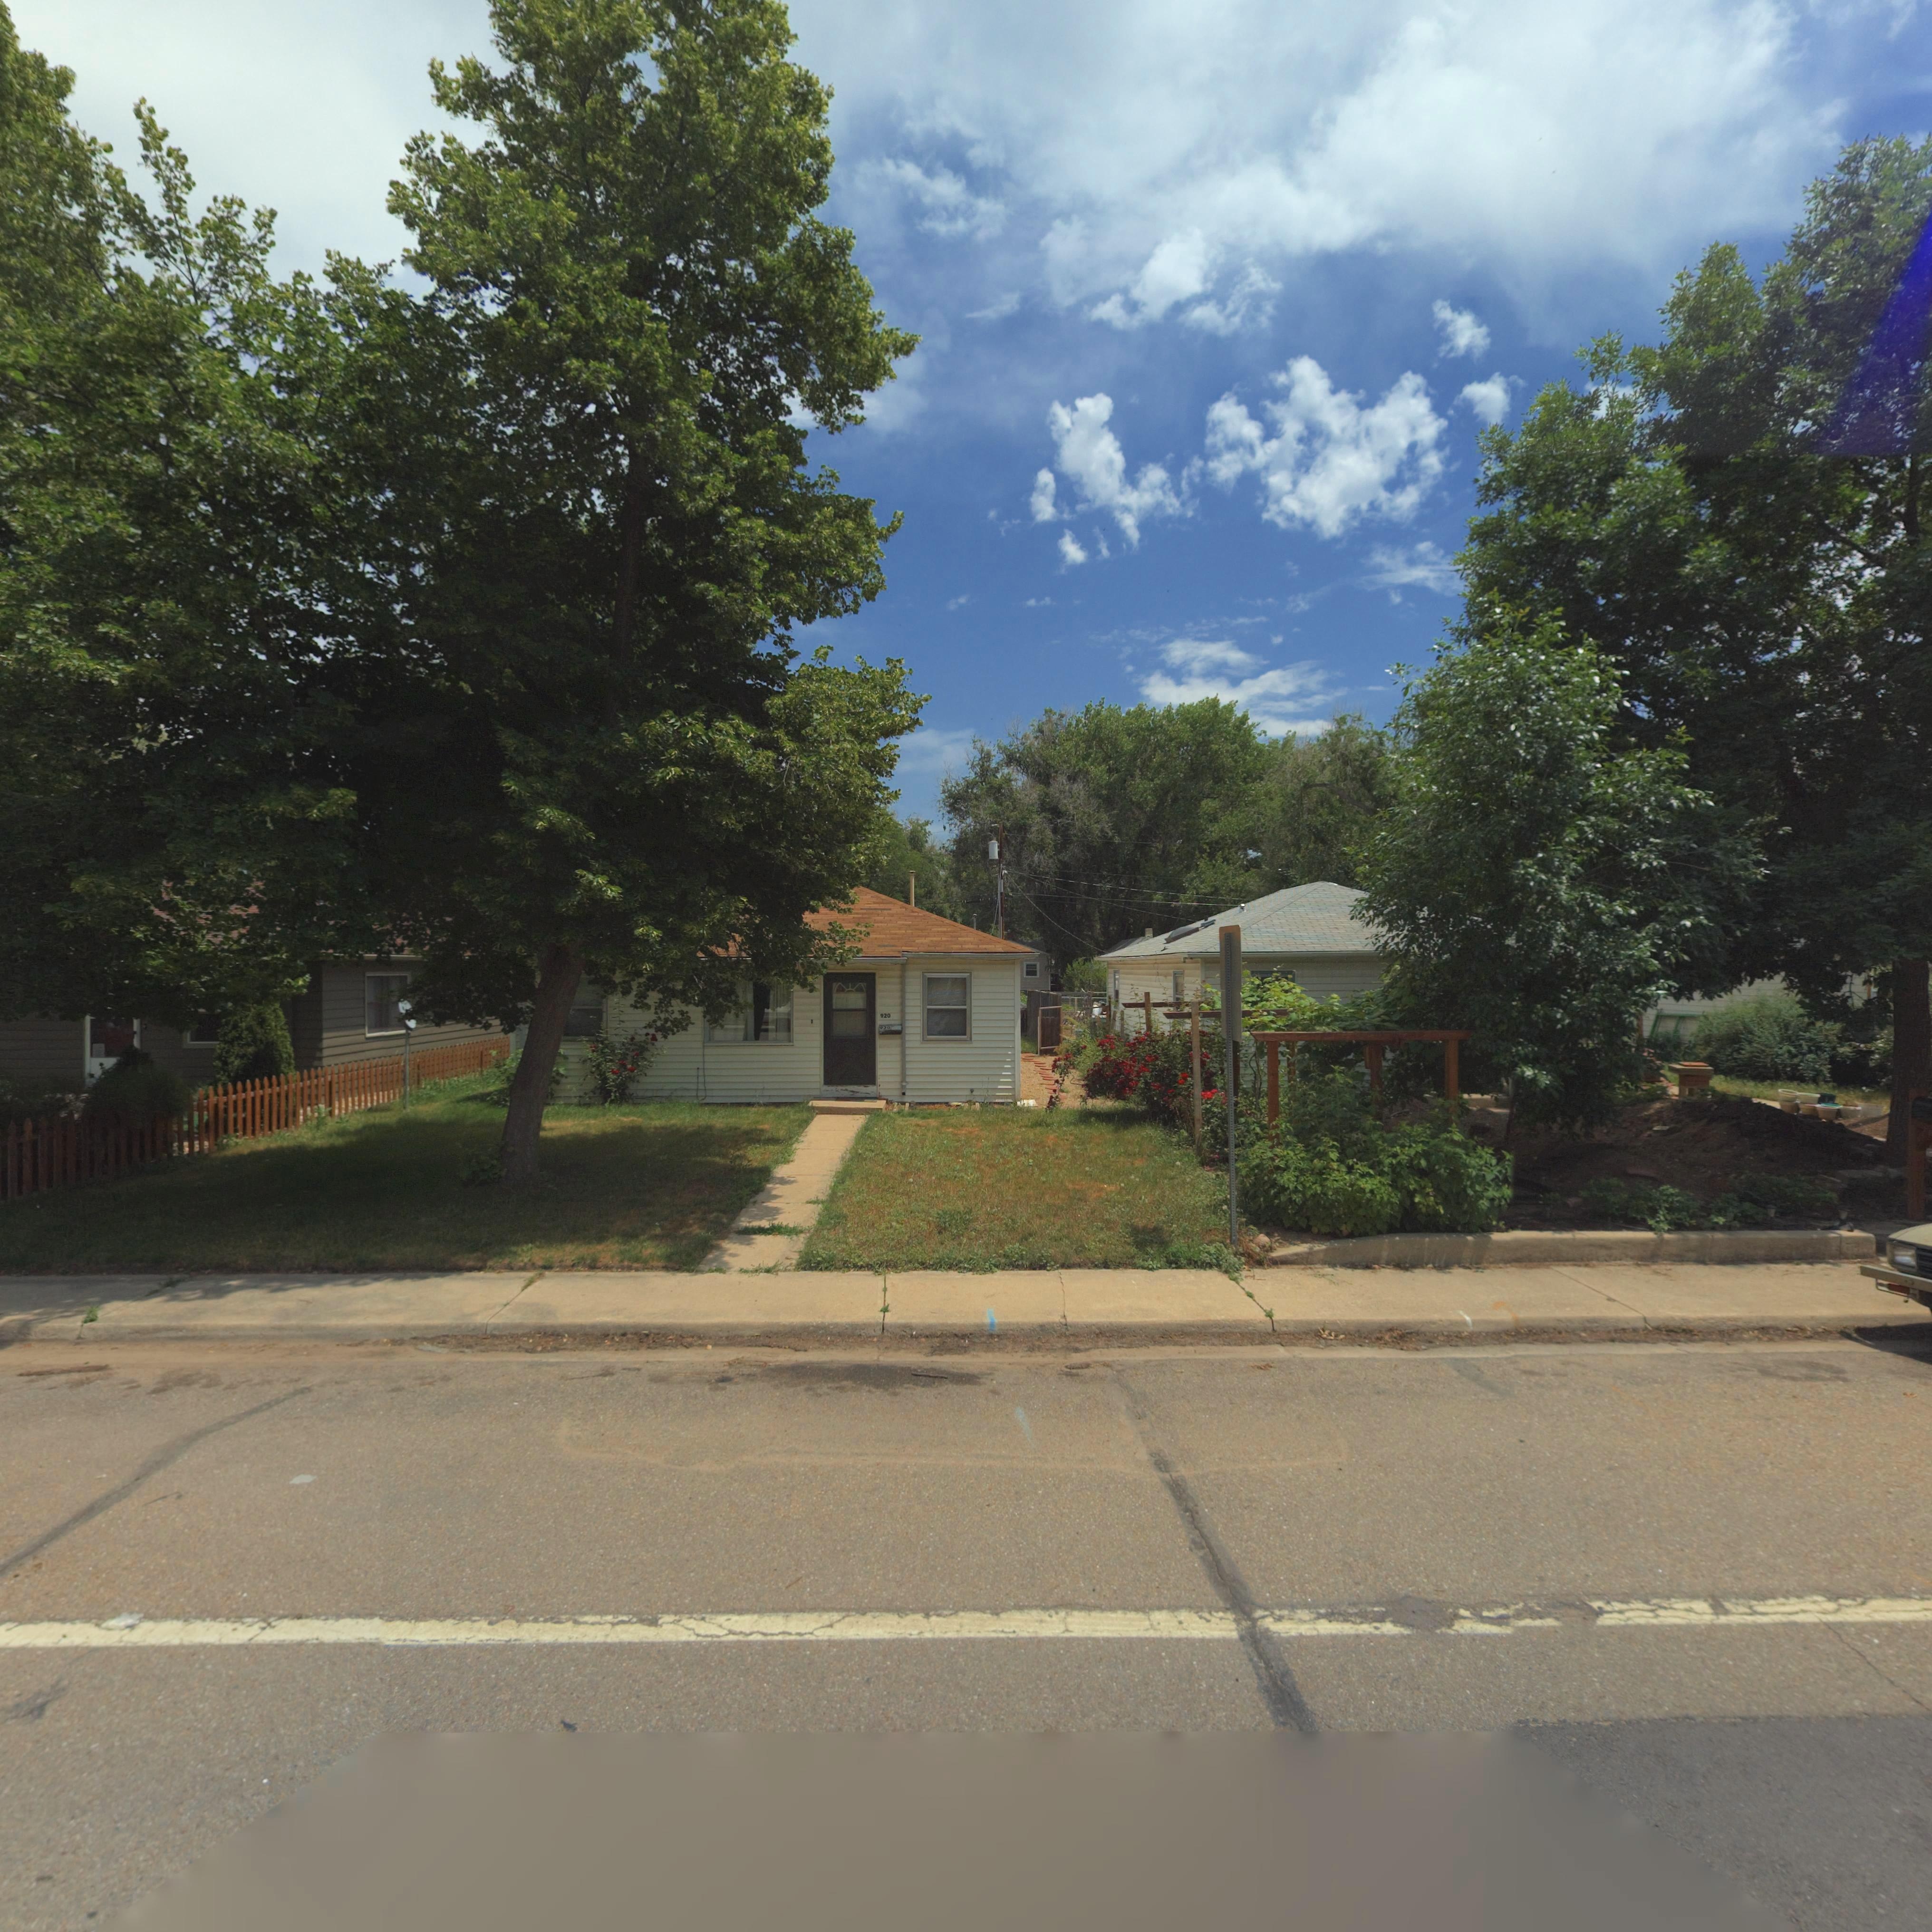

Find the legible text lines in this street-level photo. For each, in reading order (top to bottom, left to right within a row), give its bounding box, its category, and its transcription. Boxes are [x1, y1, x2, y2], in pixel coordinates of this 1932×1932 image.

[880, 1013, 890, 1018] StreetNumber: 920
[879, 1025, 890, 1030] StreetNumber: *20